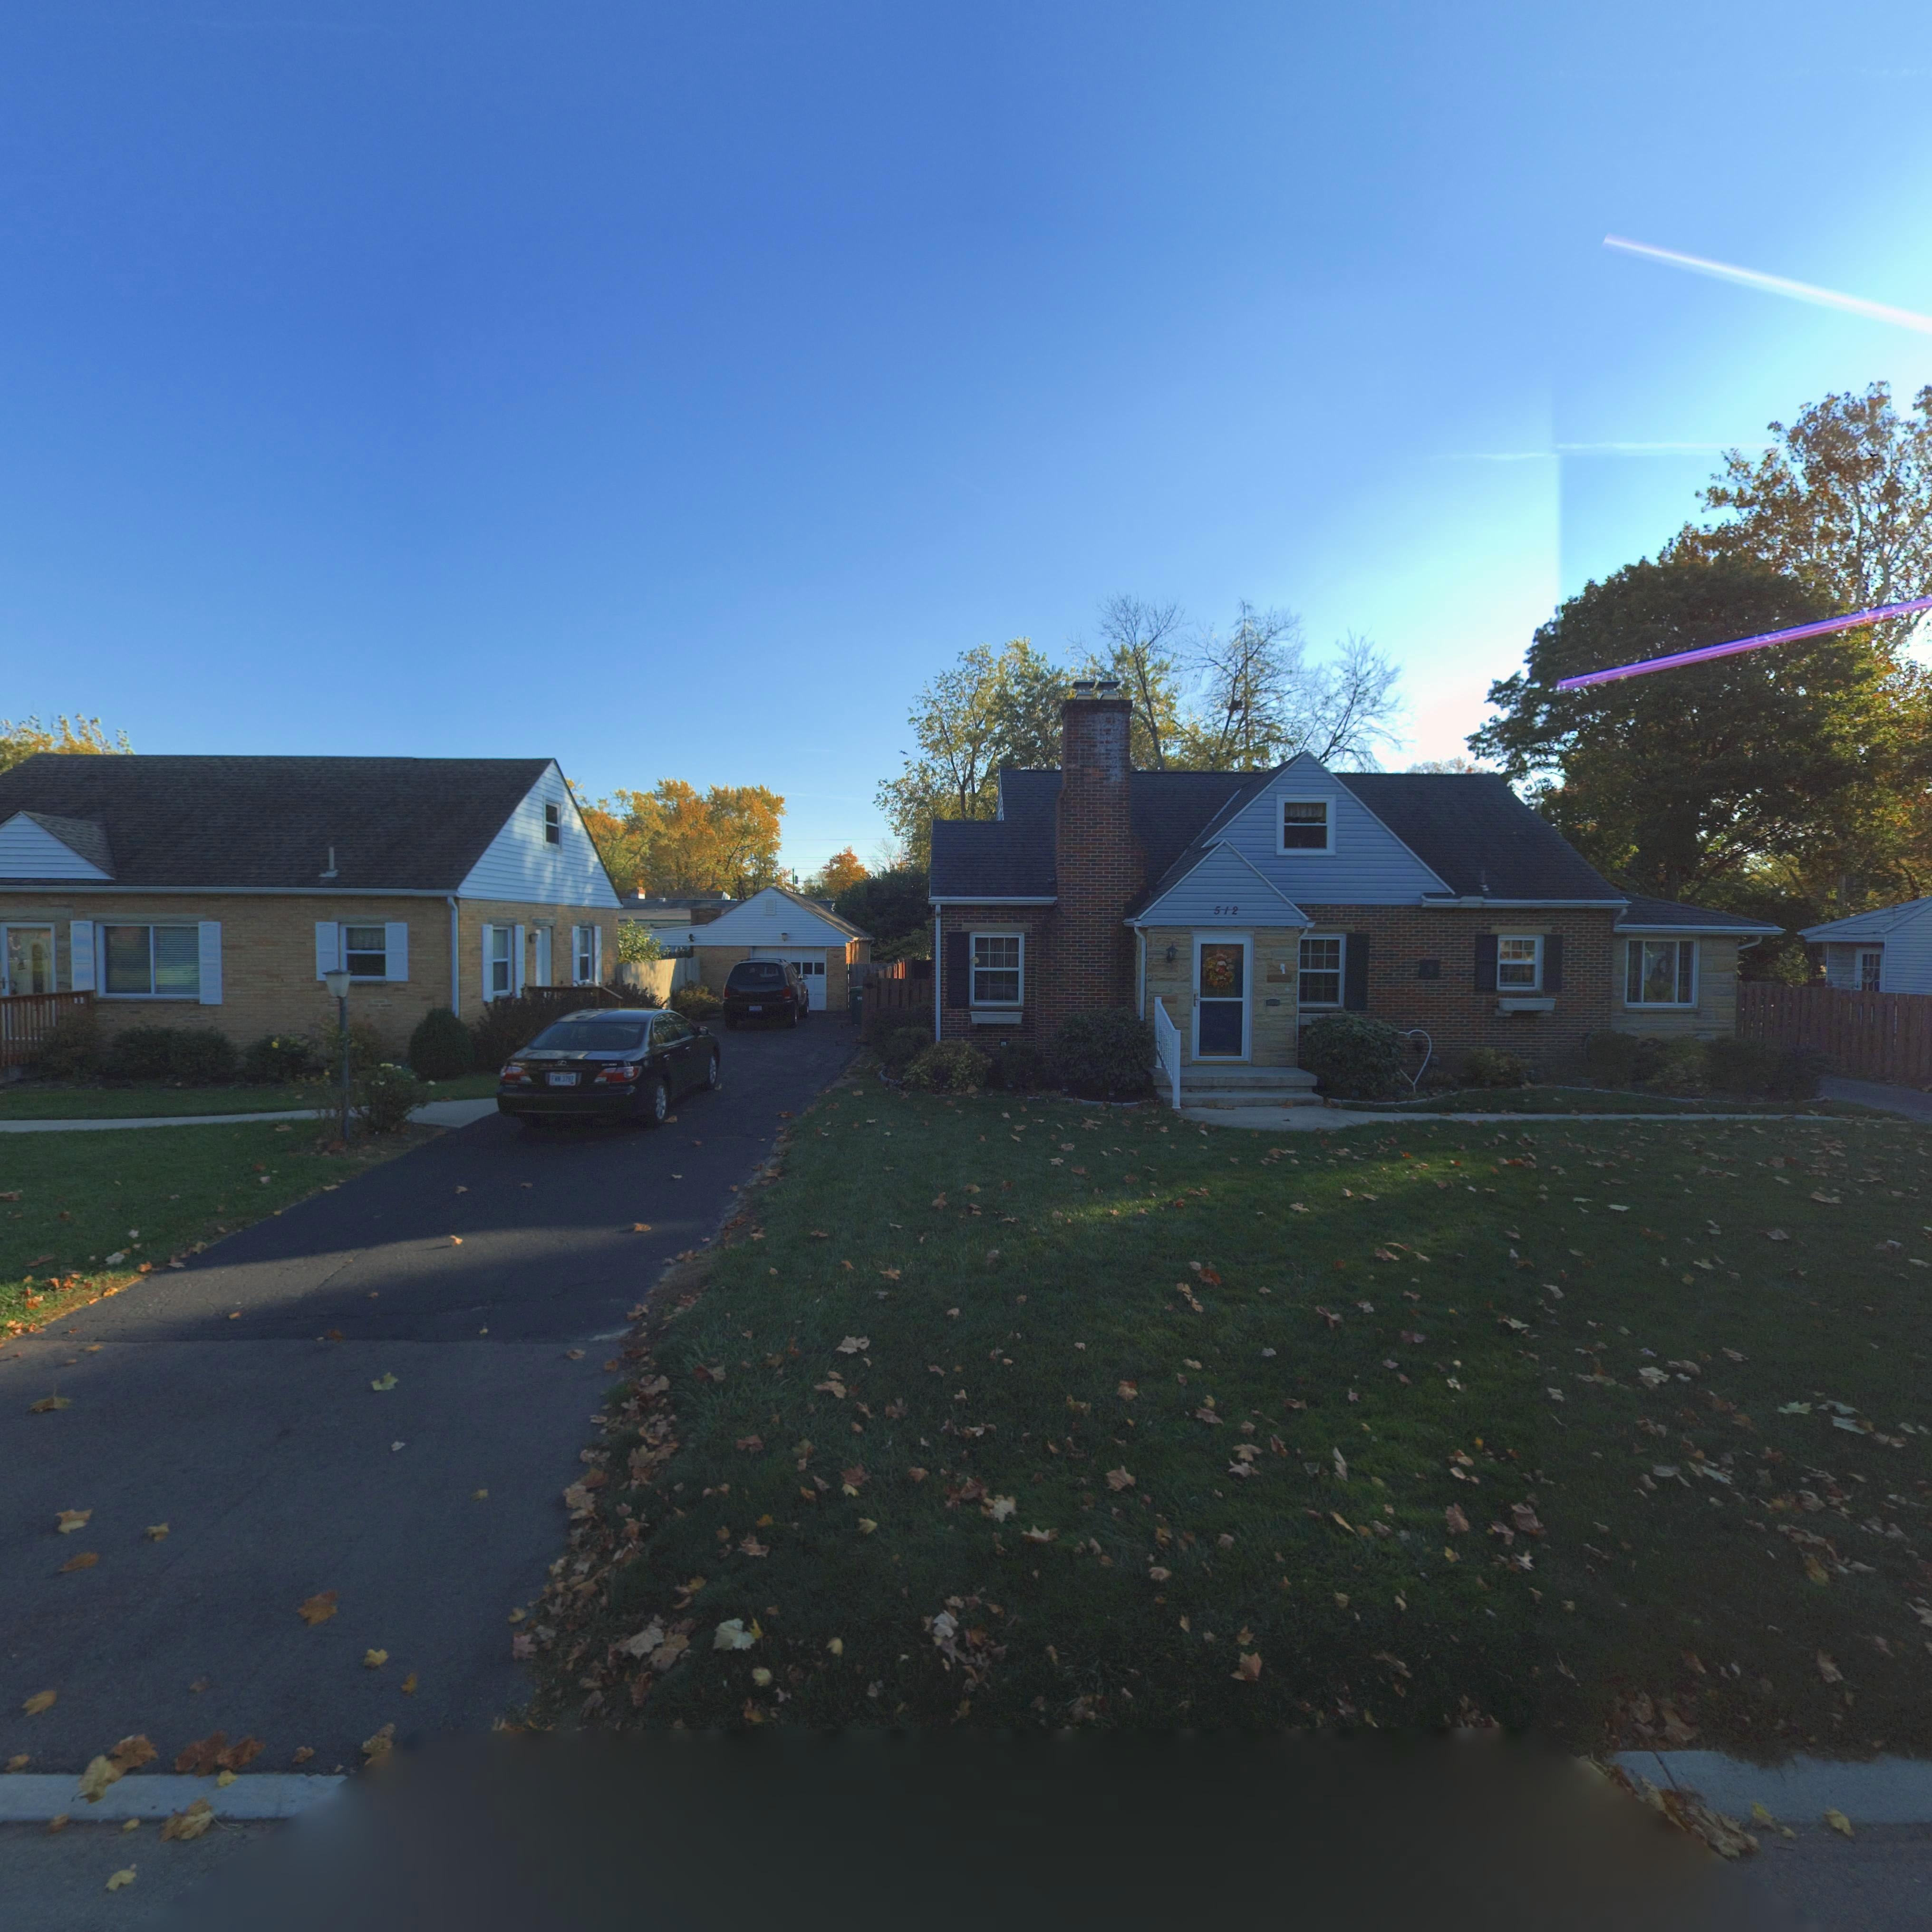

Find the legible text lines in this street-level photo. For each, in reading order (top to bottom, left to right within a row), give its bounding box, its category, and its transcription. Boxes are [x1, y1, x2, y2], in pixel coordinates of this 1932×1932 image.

[1213, 905, 1239, 915] StreetNumber: 512